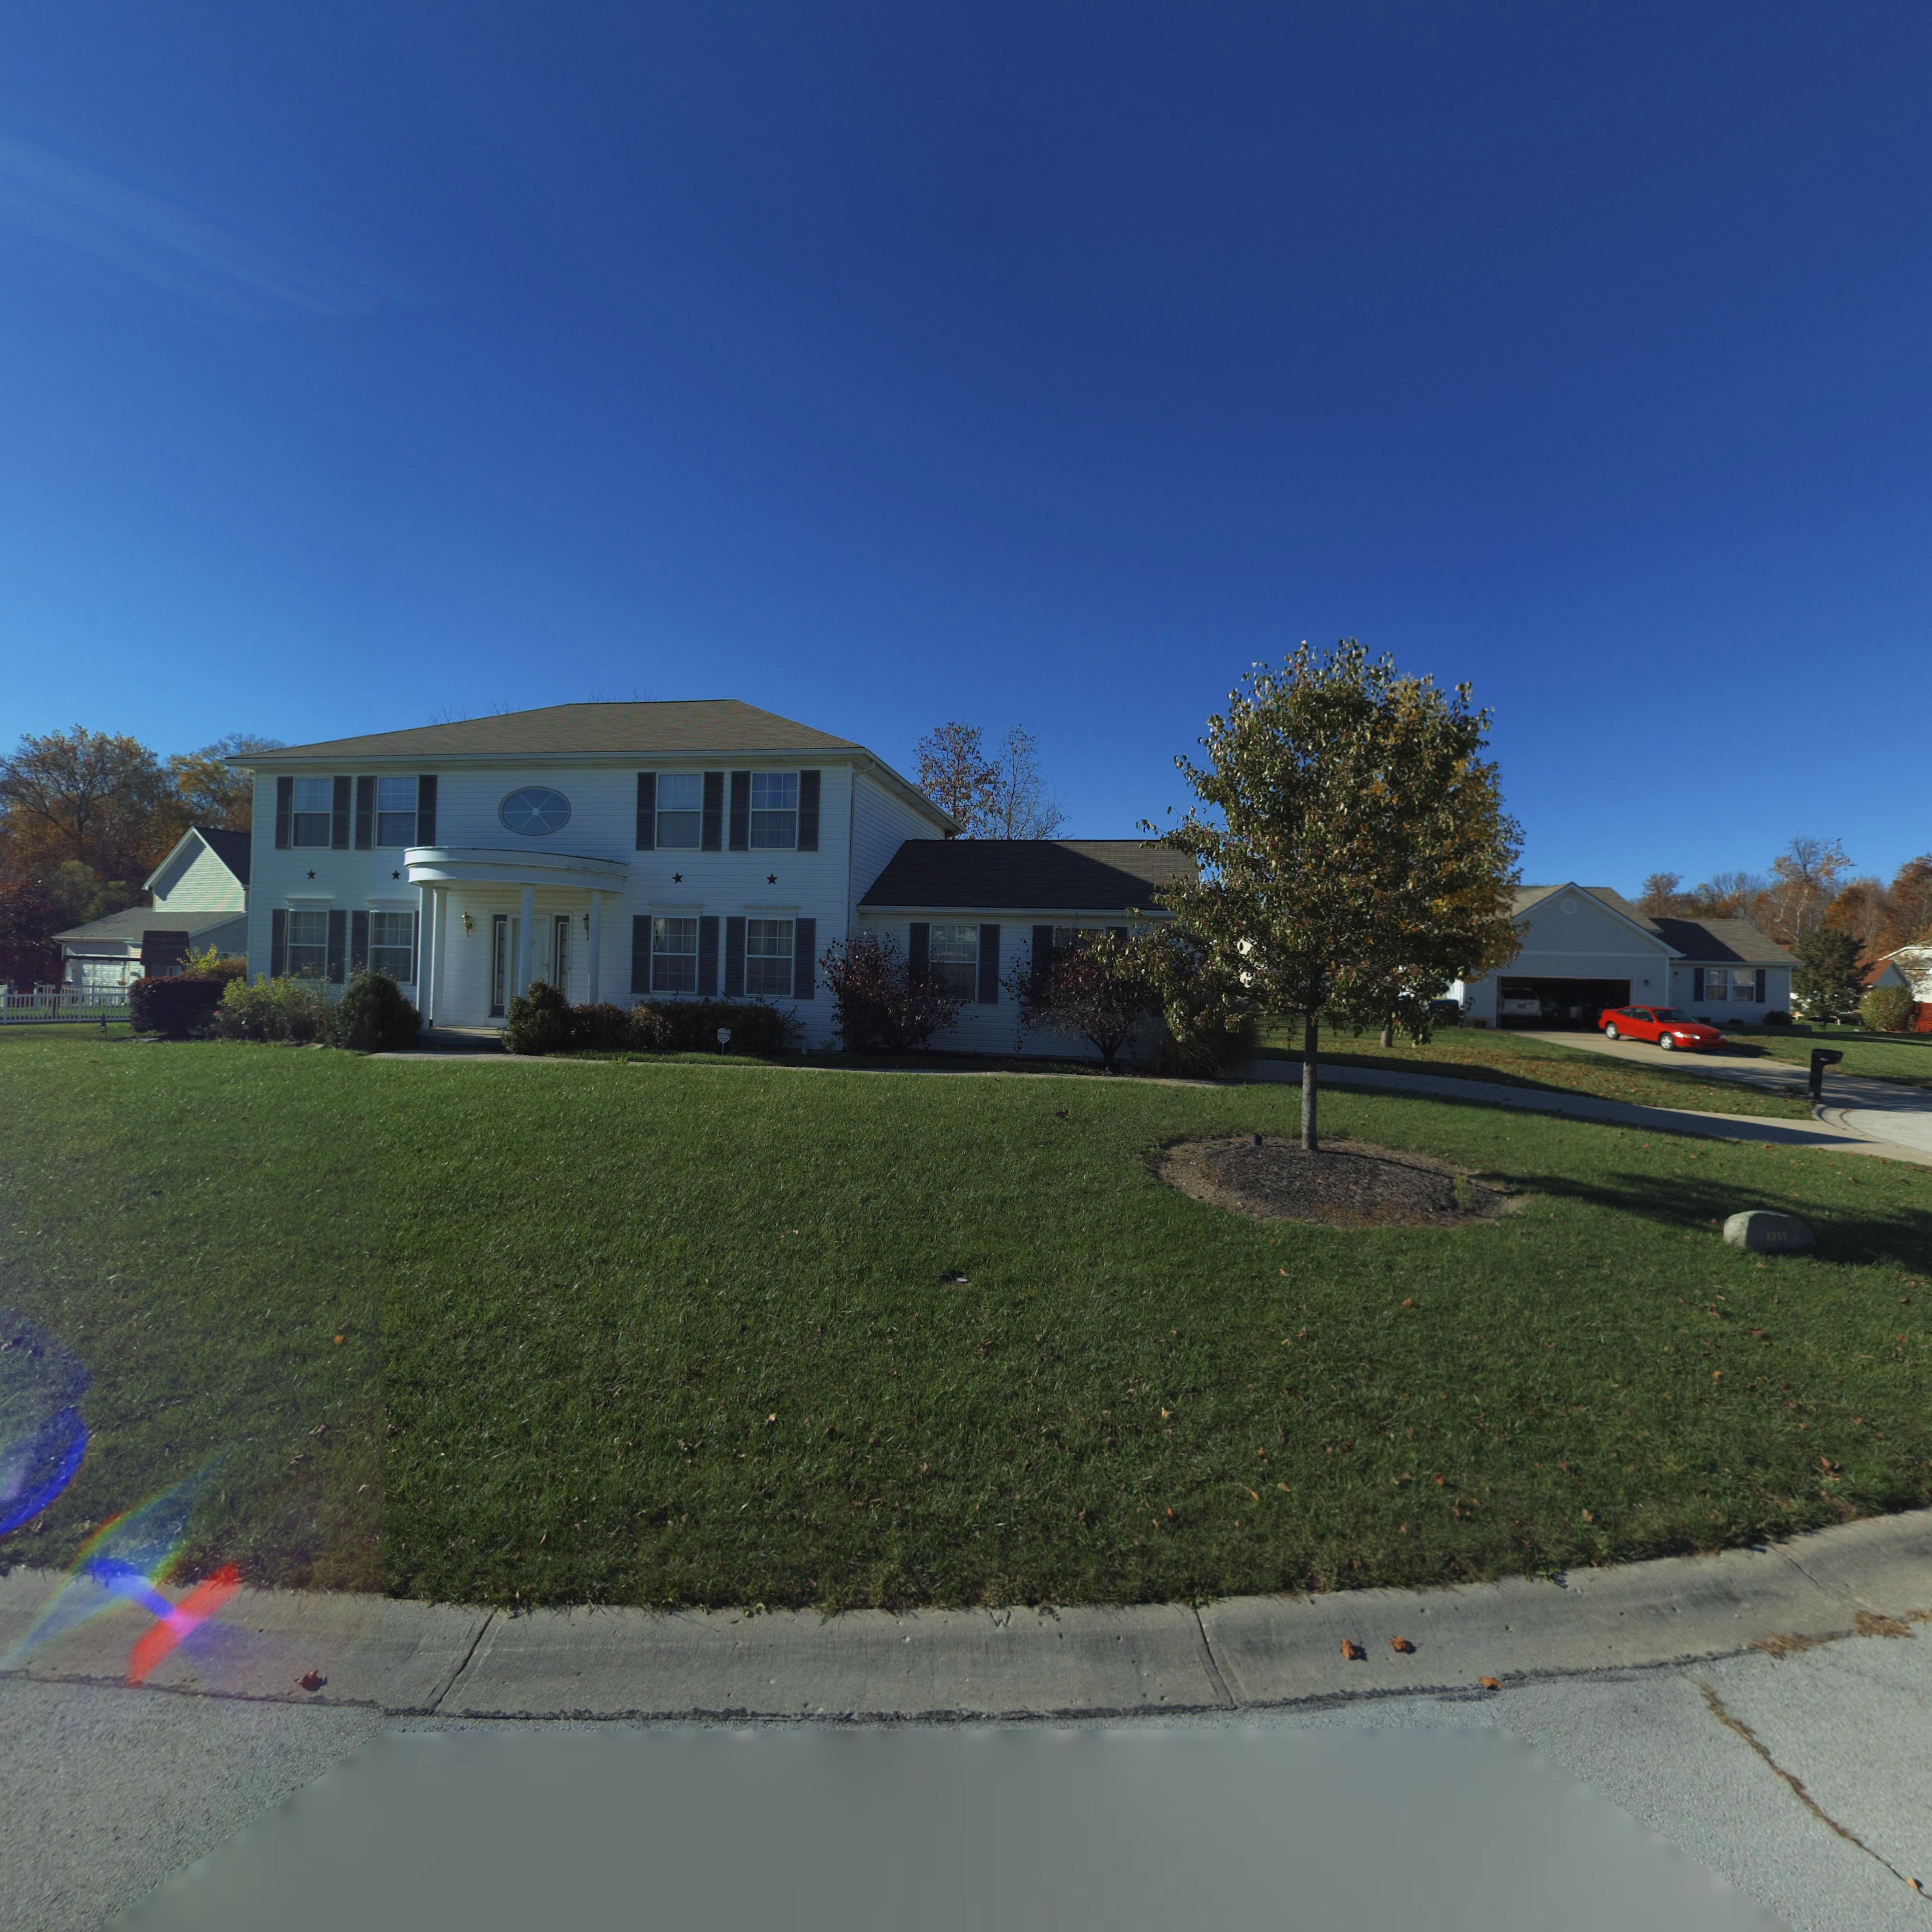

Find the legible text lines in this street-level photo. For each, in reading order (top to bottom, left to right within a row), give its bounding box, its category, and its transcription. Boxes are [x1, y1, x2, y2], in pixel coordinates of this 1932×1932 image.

[1765, 1230, 1790, 1243] StreetNumber: 6355